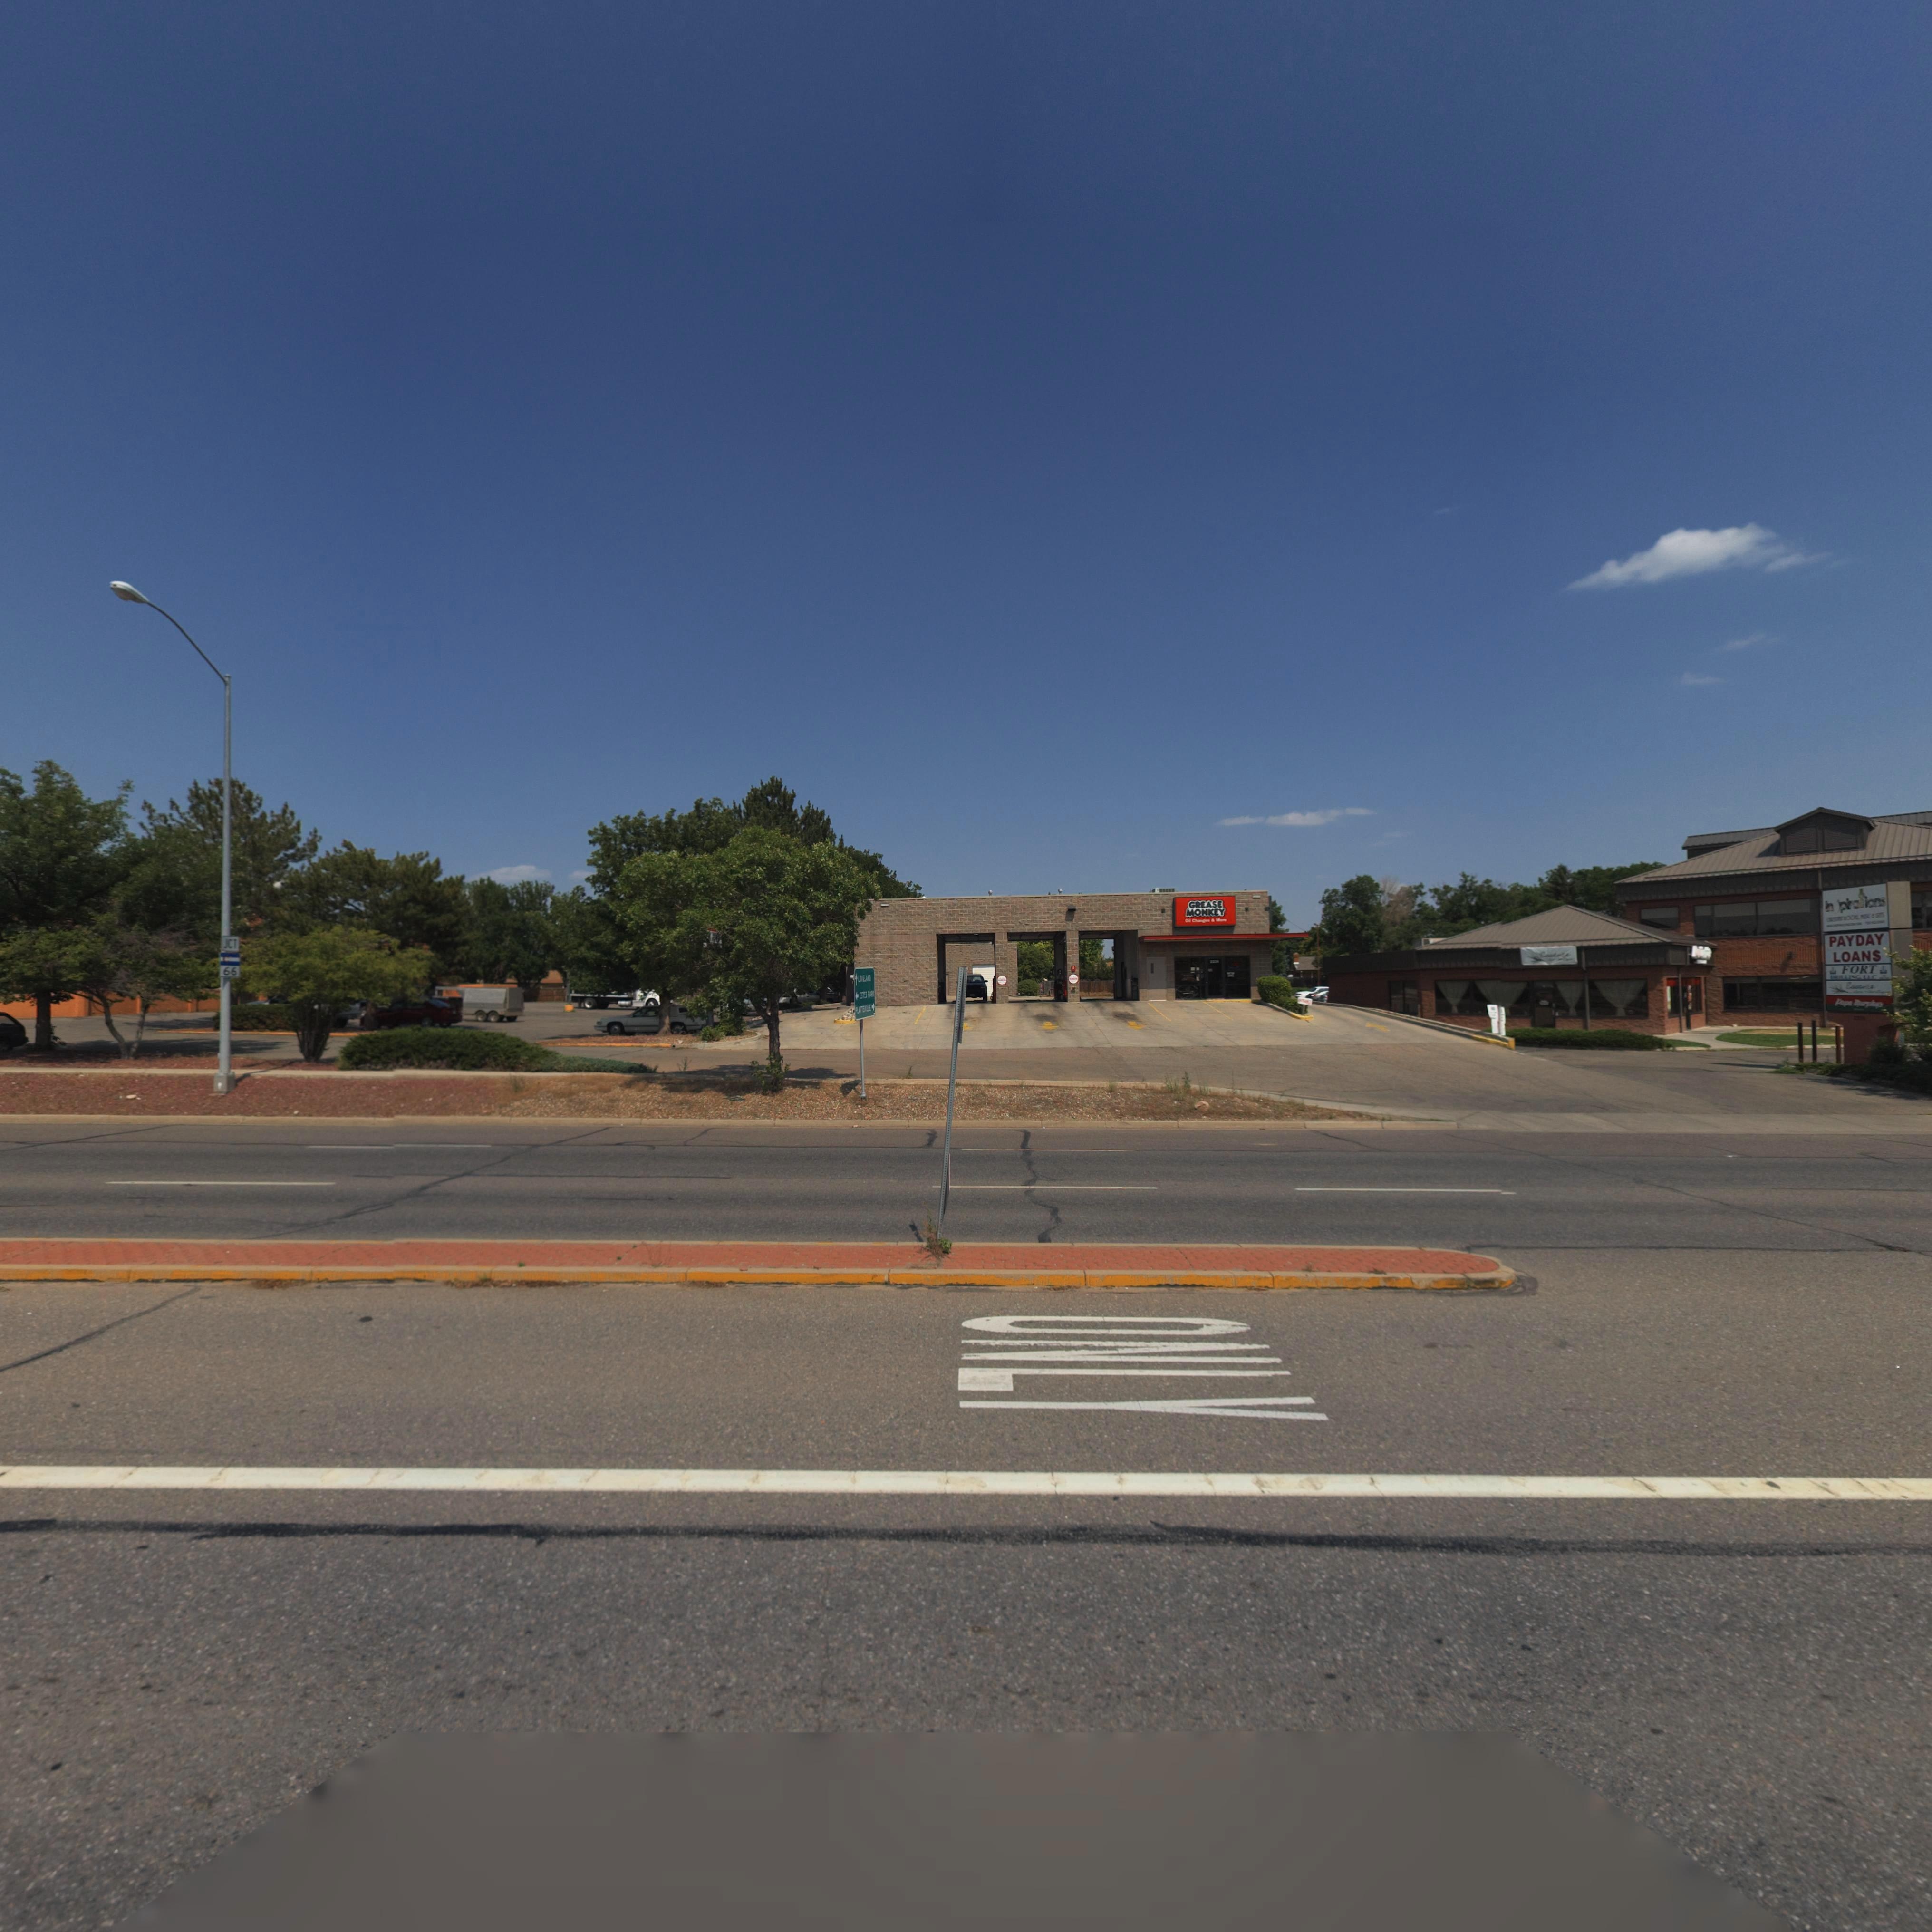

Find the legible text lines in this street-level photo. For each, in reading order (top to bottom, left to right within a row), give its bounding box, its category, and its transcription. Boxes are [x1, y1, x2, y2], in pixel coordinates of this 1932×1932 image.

[1188, 901, 1222, 909] StreetNumber: GREASE
[1824, 887, 1886, 913] BusinessName: in pira*ions
[1186, 908, 1225, 917] BusinessName: MONKEY
[1828, 932, 1886, 947] BusinessName: PAYDAY
[1538, 951, 1570, 958] BusinessName: E******
[1833, 948, 1882, 963] BusinessName: LOANS
[1210, 960, 1219, 963] StreetNumber: 2334
[1840, 965, 1878, 974] BusinessName: FORT
[1830, 975, 1877, 980] StreetNumber: DRILLING, LLC
[1843, 980, 1875, 990] BusinessName: E******
[1834, 998, 1884, 1009] BusinessName: Papa Murphy's